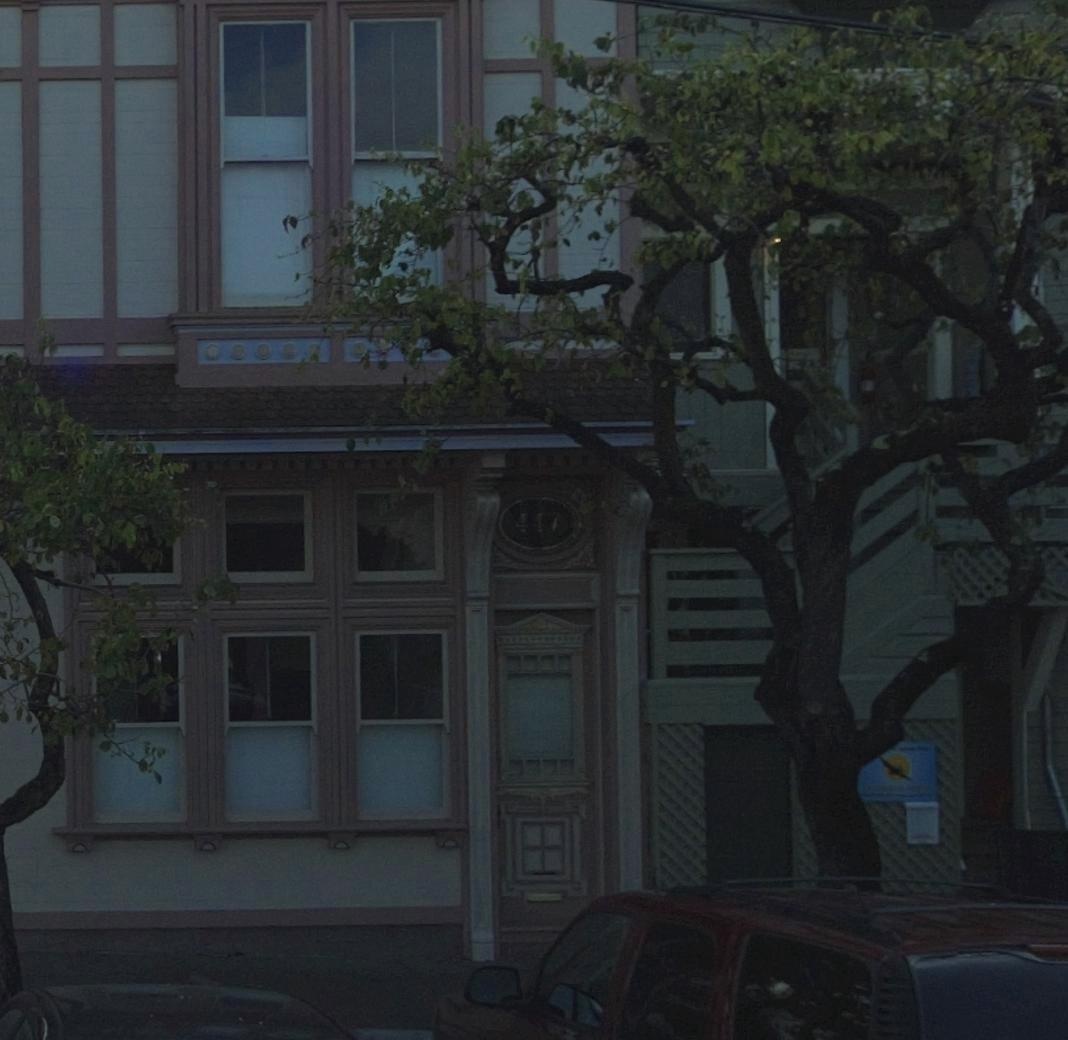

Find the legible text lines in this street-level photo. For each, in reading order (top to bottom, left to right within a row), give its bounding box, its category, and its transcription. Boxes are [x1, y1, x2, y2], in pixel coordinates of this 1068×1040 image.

[514, 510, 561, 533] StreetNumber: 447